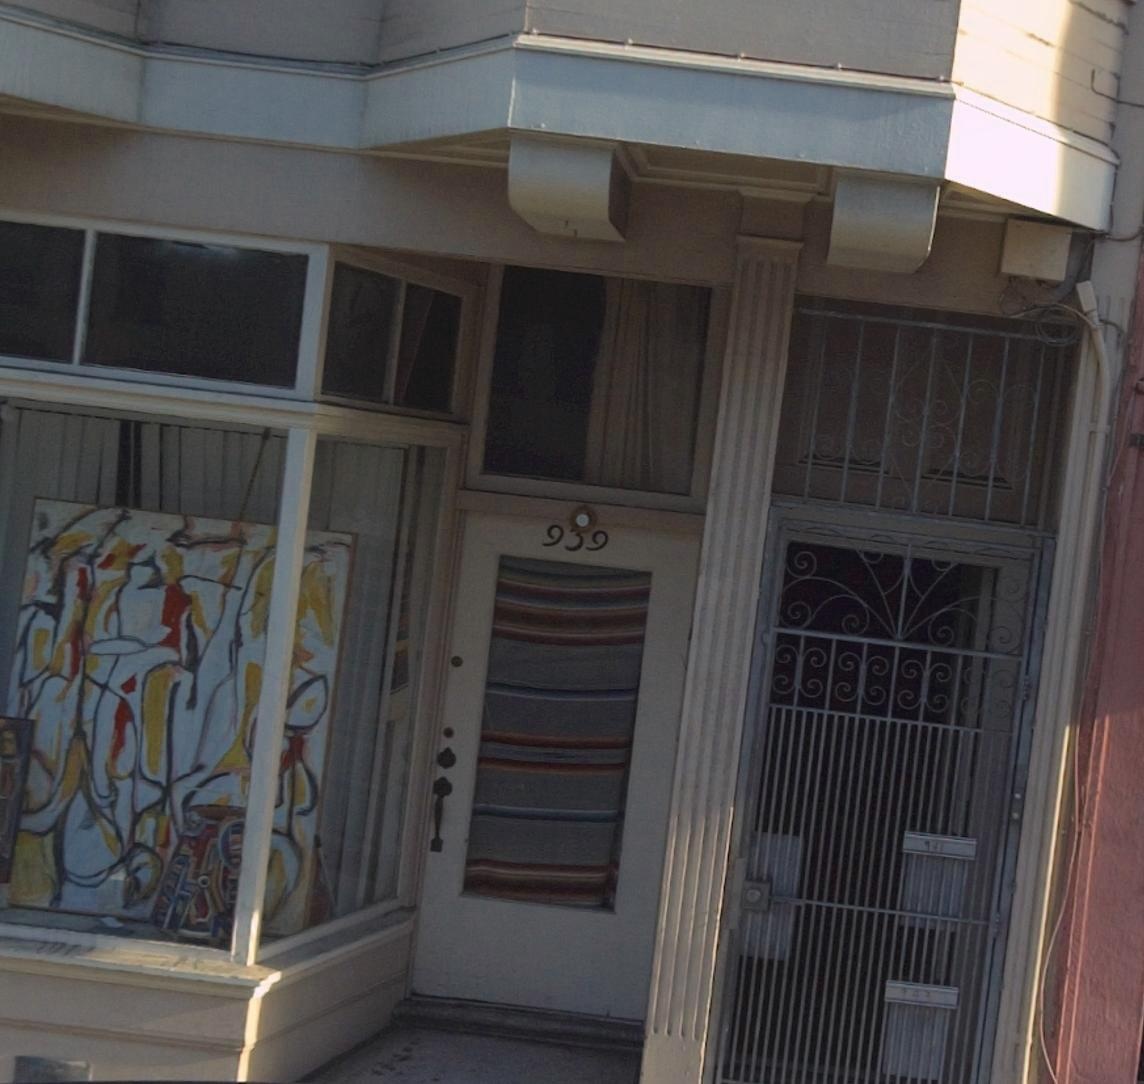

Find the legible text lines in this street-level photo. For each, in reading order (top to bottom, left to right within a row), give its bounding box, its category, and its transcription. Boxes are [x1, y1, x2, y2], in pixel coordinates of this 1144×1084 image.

[537, 521, 614, 557] StreetNumber: 939